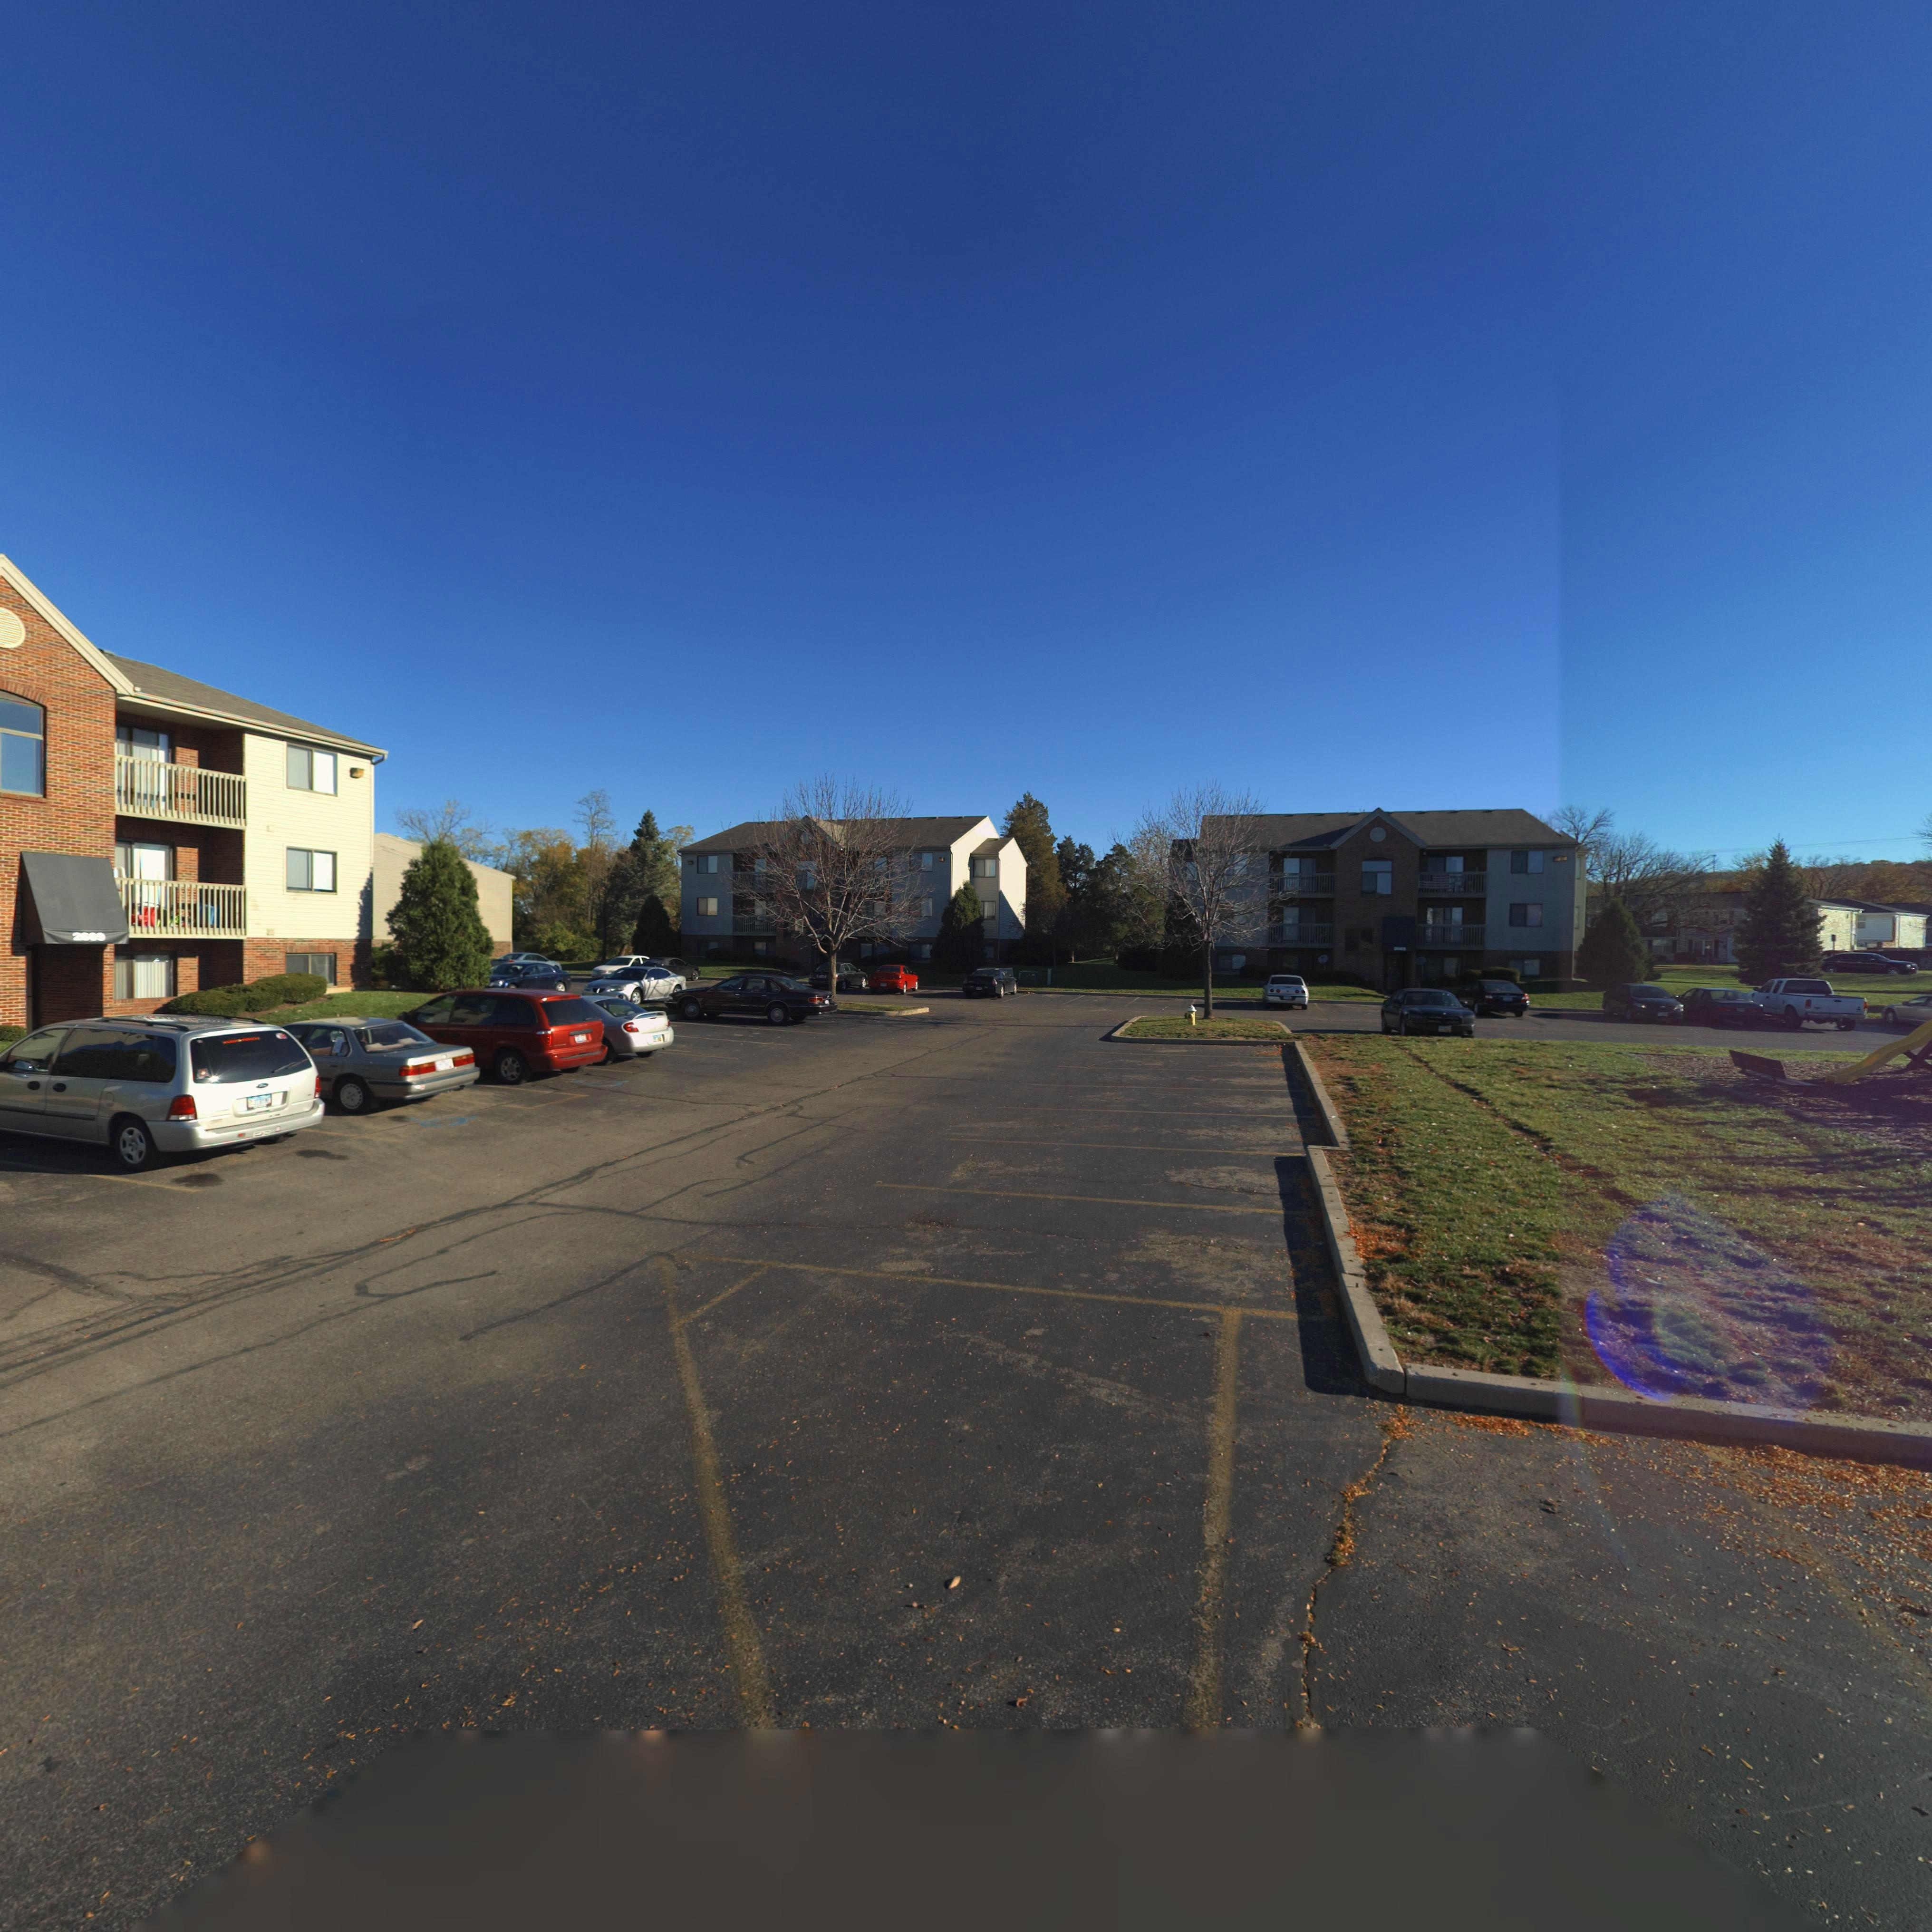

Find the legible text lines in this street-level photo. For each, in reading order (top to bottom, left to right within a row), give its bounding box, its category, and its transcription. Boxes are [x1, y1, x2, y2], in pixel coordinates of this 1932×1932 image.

[72, 932, 106, 941] StreetNumber: 2**9
[1393, 946, 1407, 951] StreetNumber: 2***